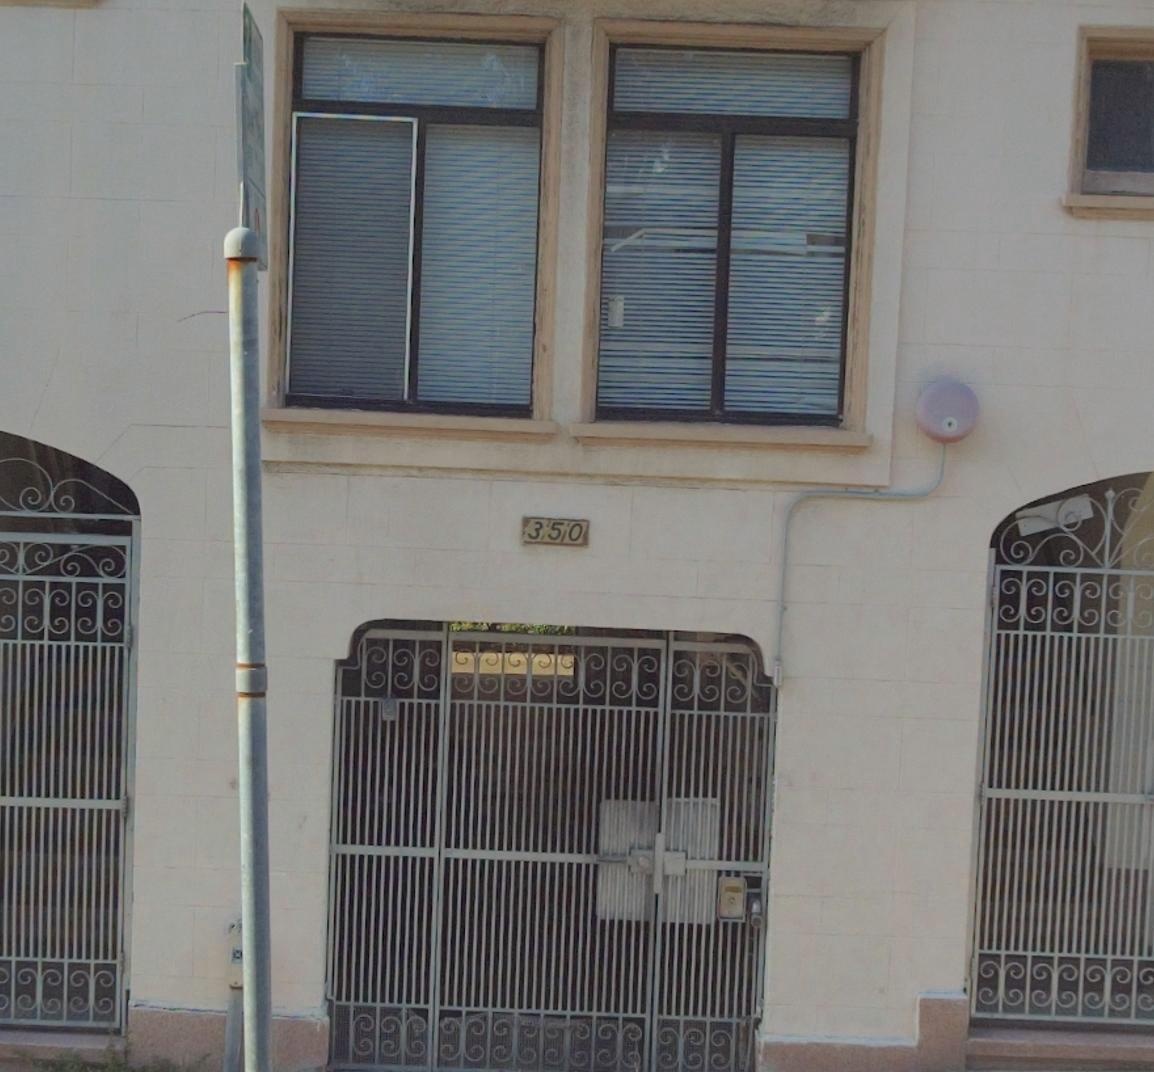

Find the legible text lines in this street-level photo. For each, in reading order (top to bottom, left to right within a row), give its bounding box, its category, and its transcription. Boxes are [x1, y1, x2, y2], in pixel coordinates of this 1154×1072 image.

[524, 520, 586, 543] StreetNumber: 350